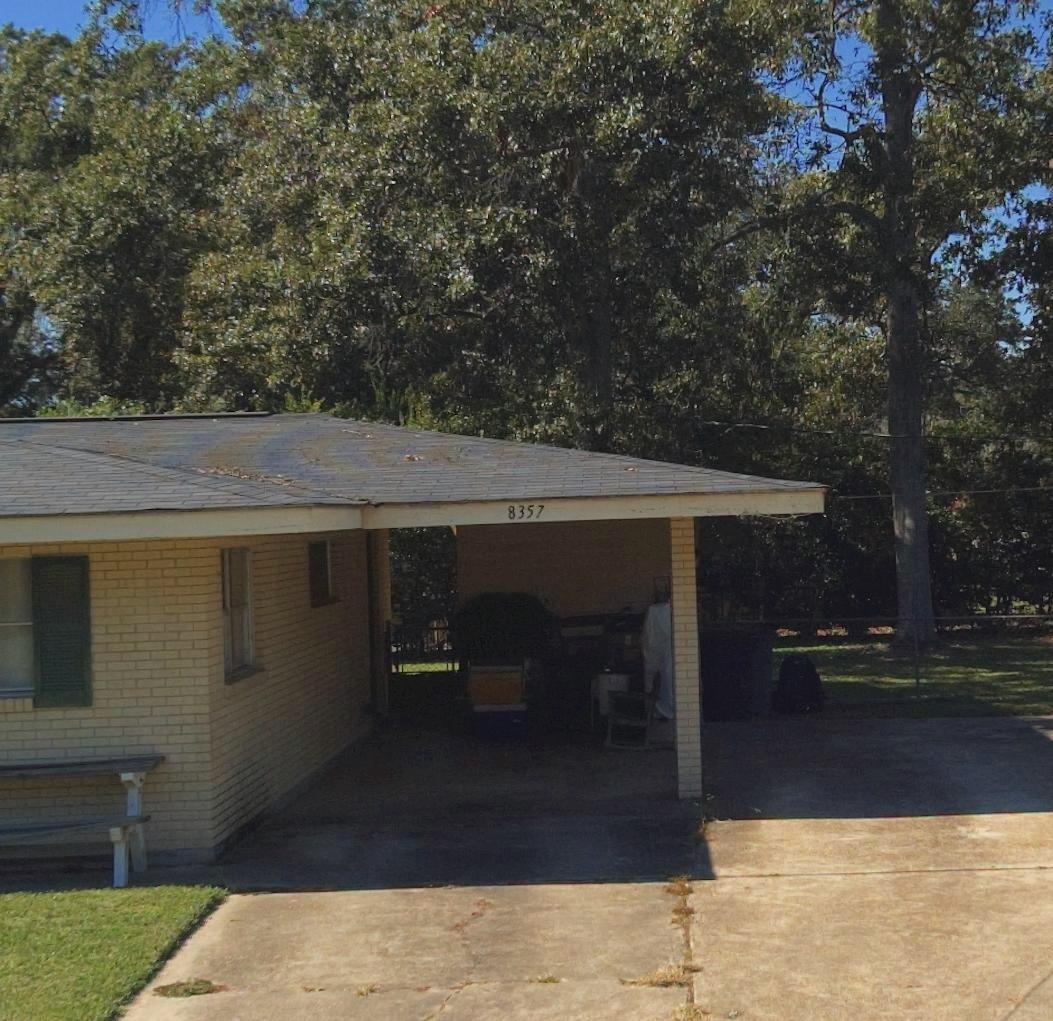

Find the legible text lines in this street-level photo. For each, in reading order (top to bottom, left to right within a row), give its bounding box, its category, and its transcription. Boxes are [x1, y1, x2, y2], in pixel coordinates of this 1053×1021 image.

[506, 503, 547, 521] StreetNumber: 8357